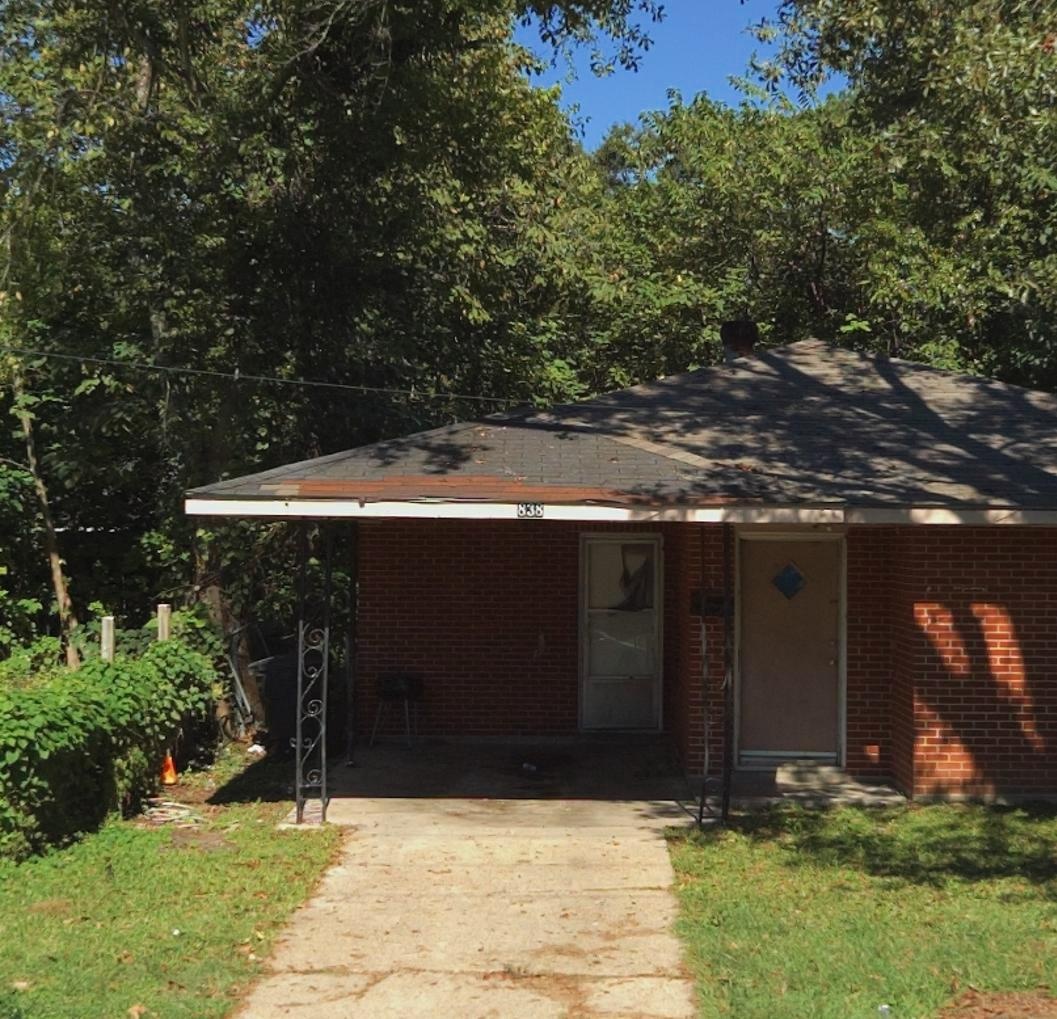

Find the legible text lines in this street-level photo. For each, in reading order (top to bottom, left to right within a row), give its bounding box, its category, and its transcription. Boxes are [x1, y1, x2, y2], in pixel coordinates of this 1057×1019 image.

[517, 502, 544, 518] StreetNumber: 838